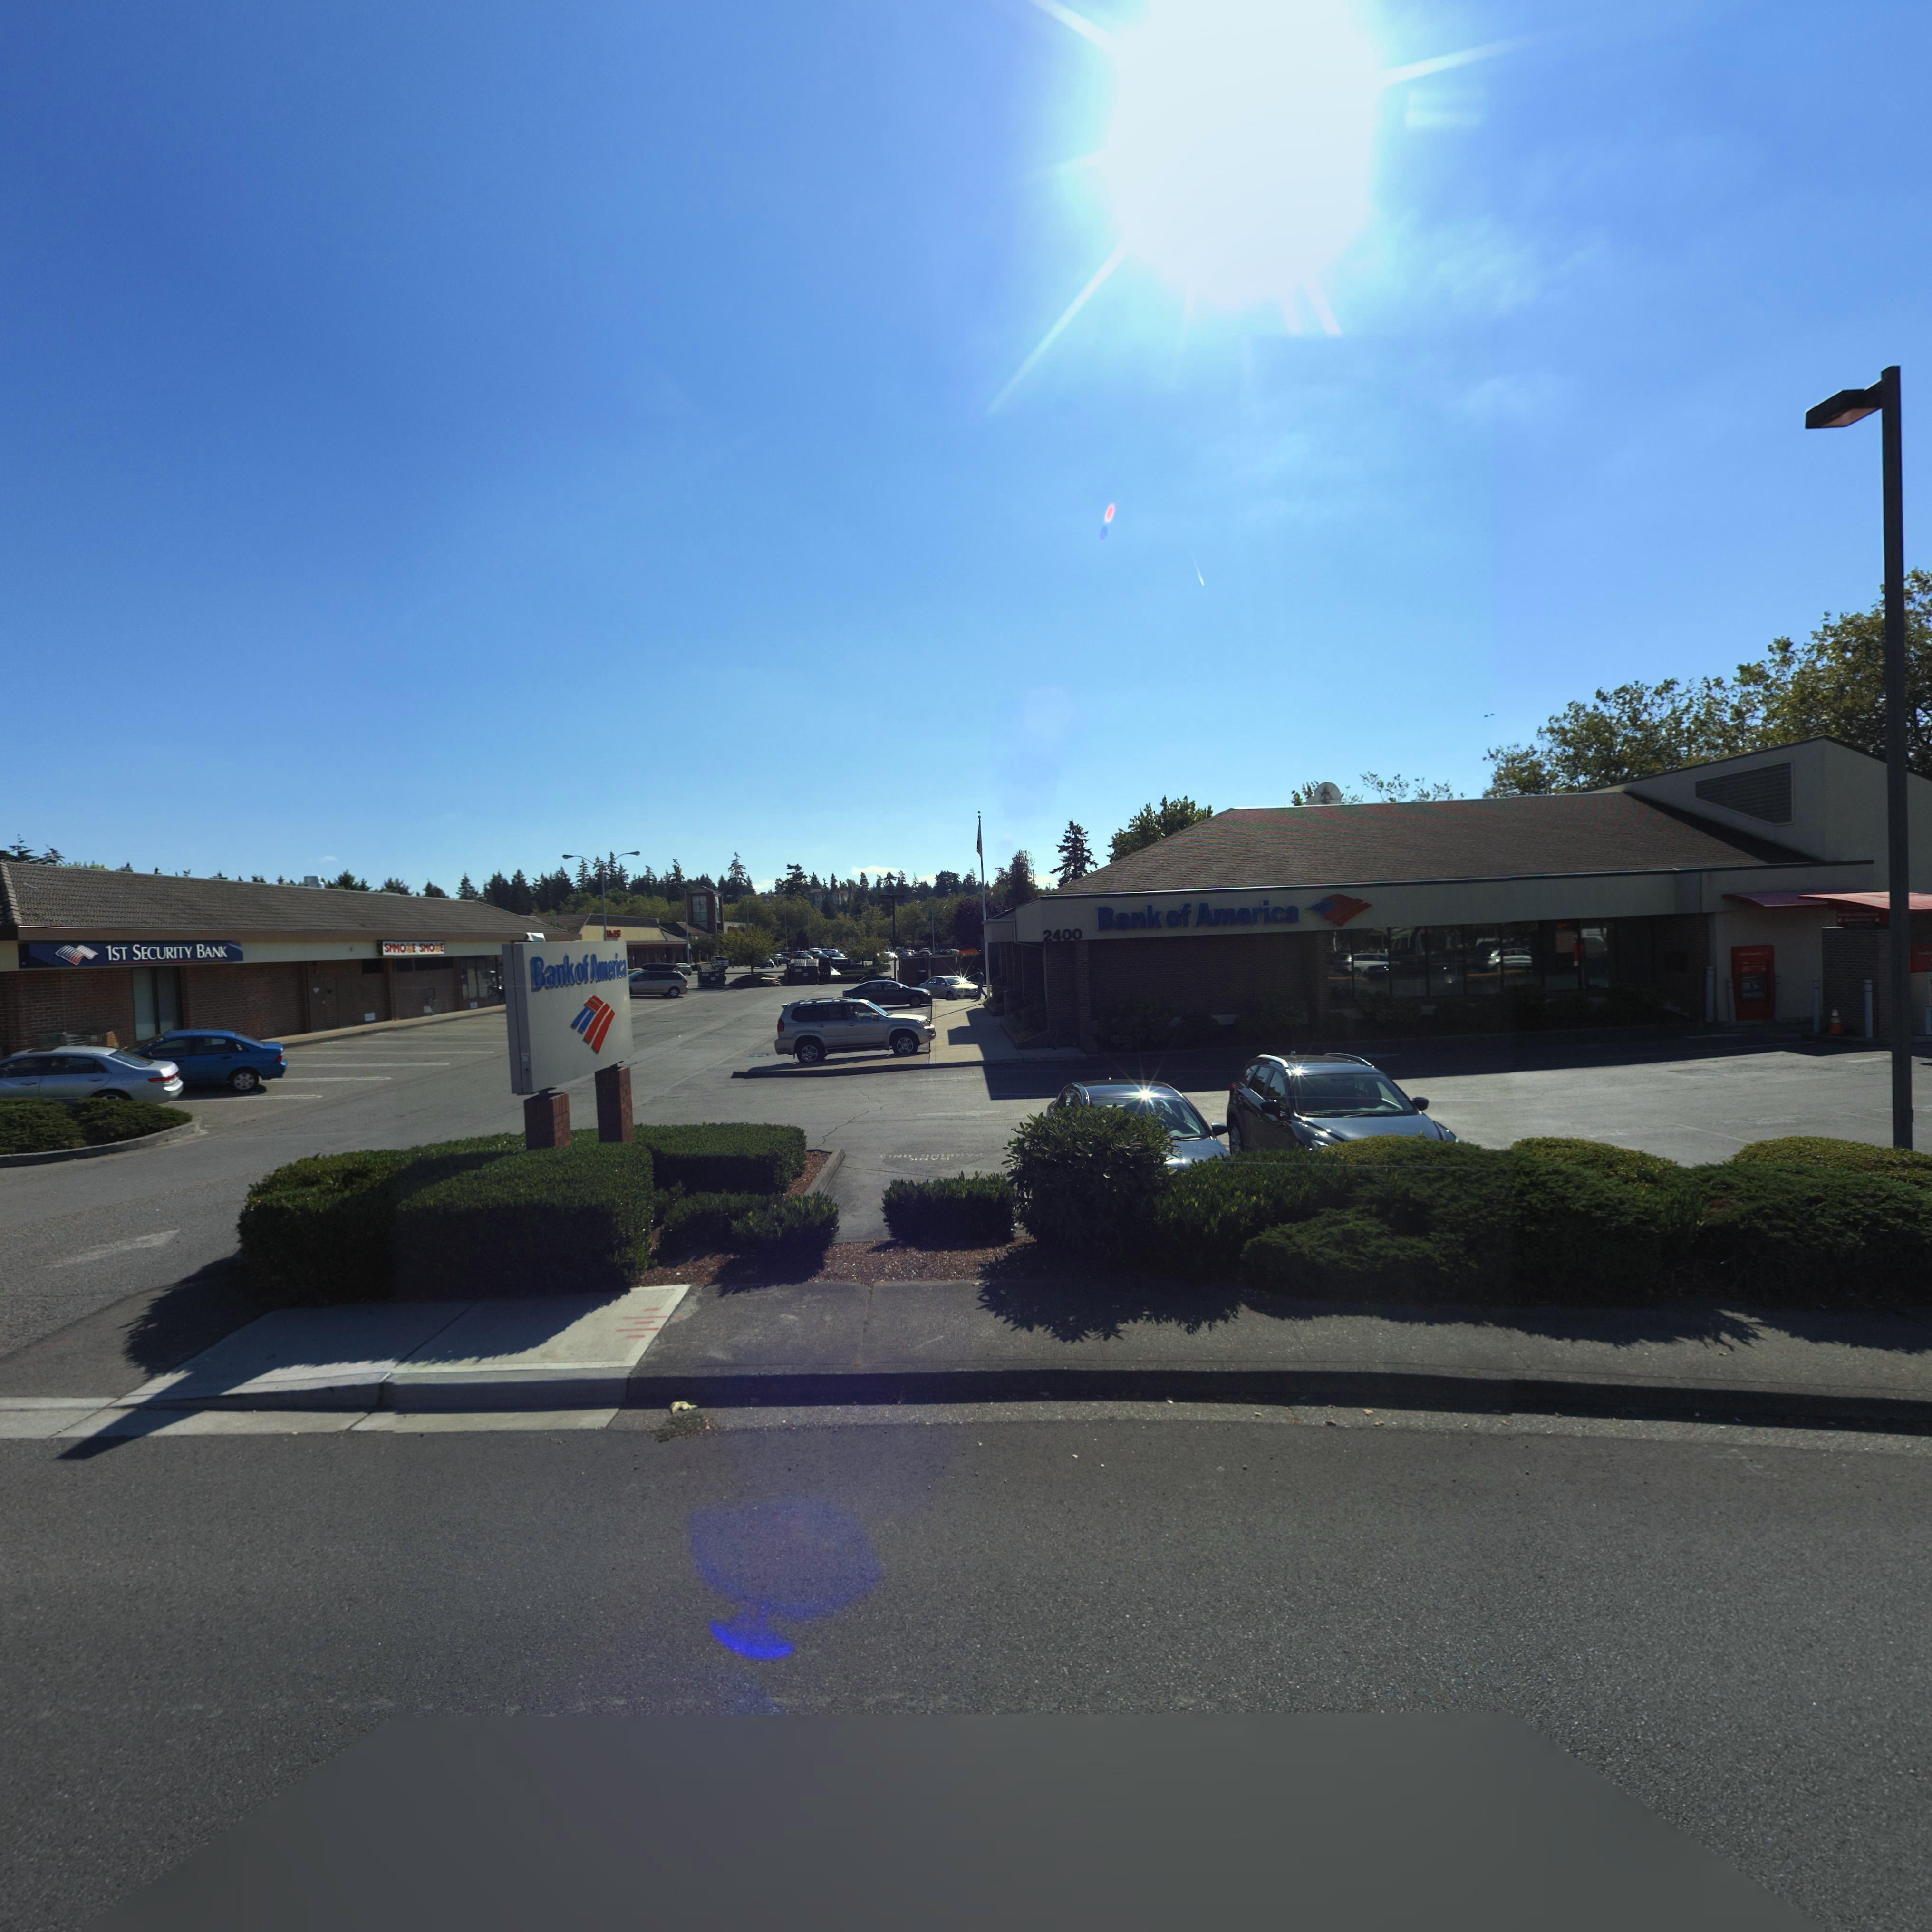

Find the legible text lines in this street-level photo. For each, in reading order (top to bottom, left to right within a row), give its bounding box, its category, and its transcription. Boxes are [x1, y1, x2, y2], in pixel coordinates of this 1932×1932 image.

[1097, 898, 1301, 932] BusinessName: Bank of America
[1042, 927, 1082, 941] StreetNumber: 2400
[105, 945, 230, 962] BusinessName: 1ST SECURITY BANK
[383, 941, 445, 953] BusinessName: SMMO*E SMO*E
[531, 951, 627, 992] BusinessName: Bank of America